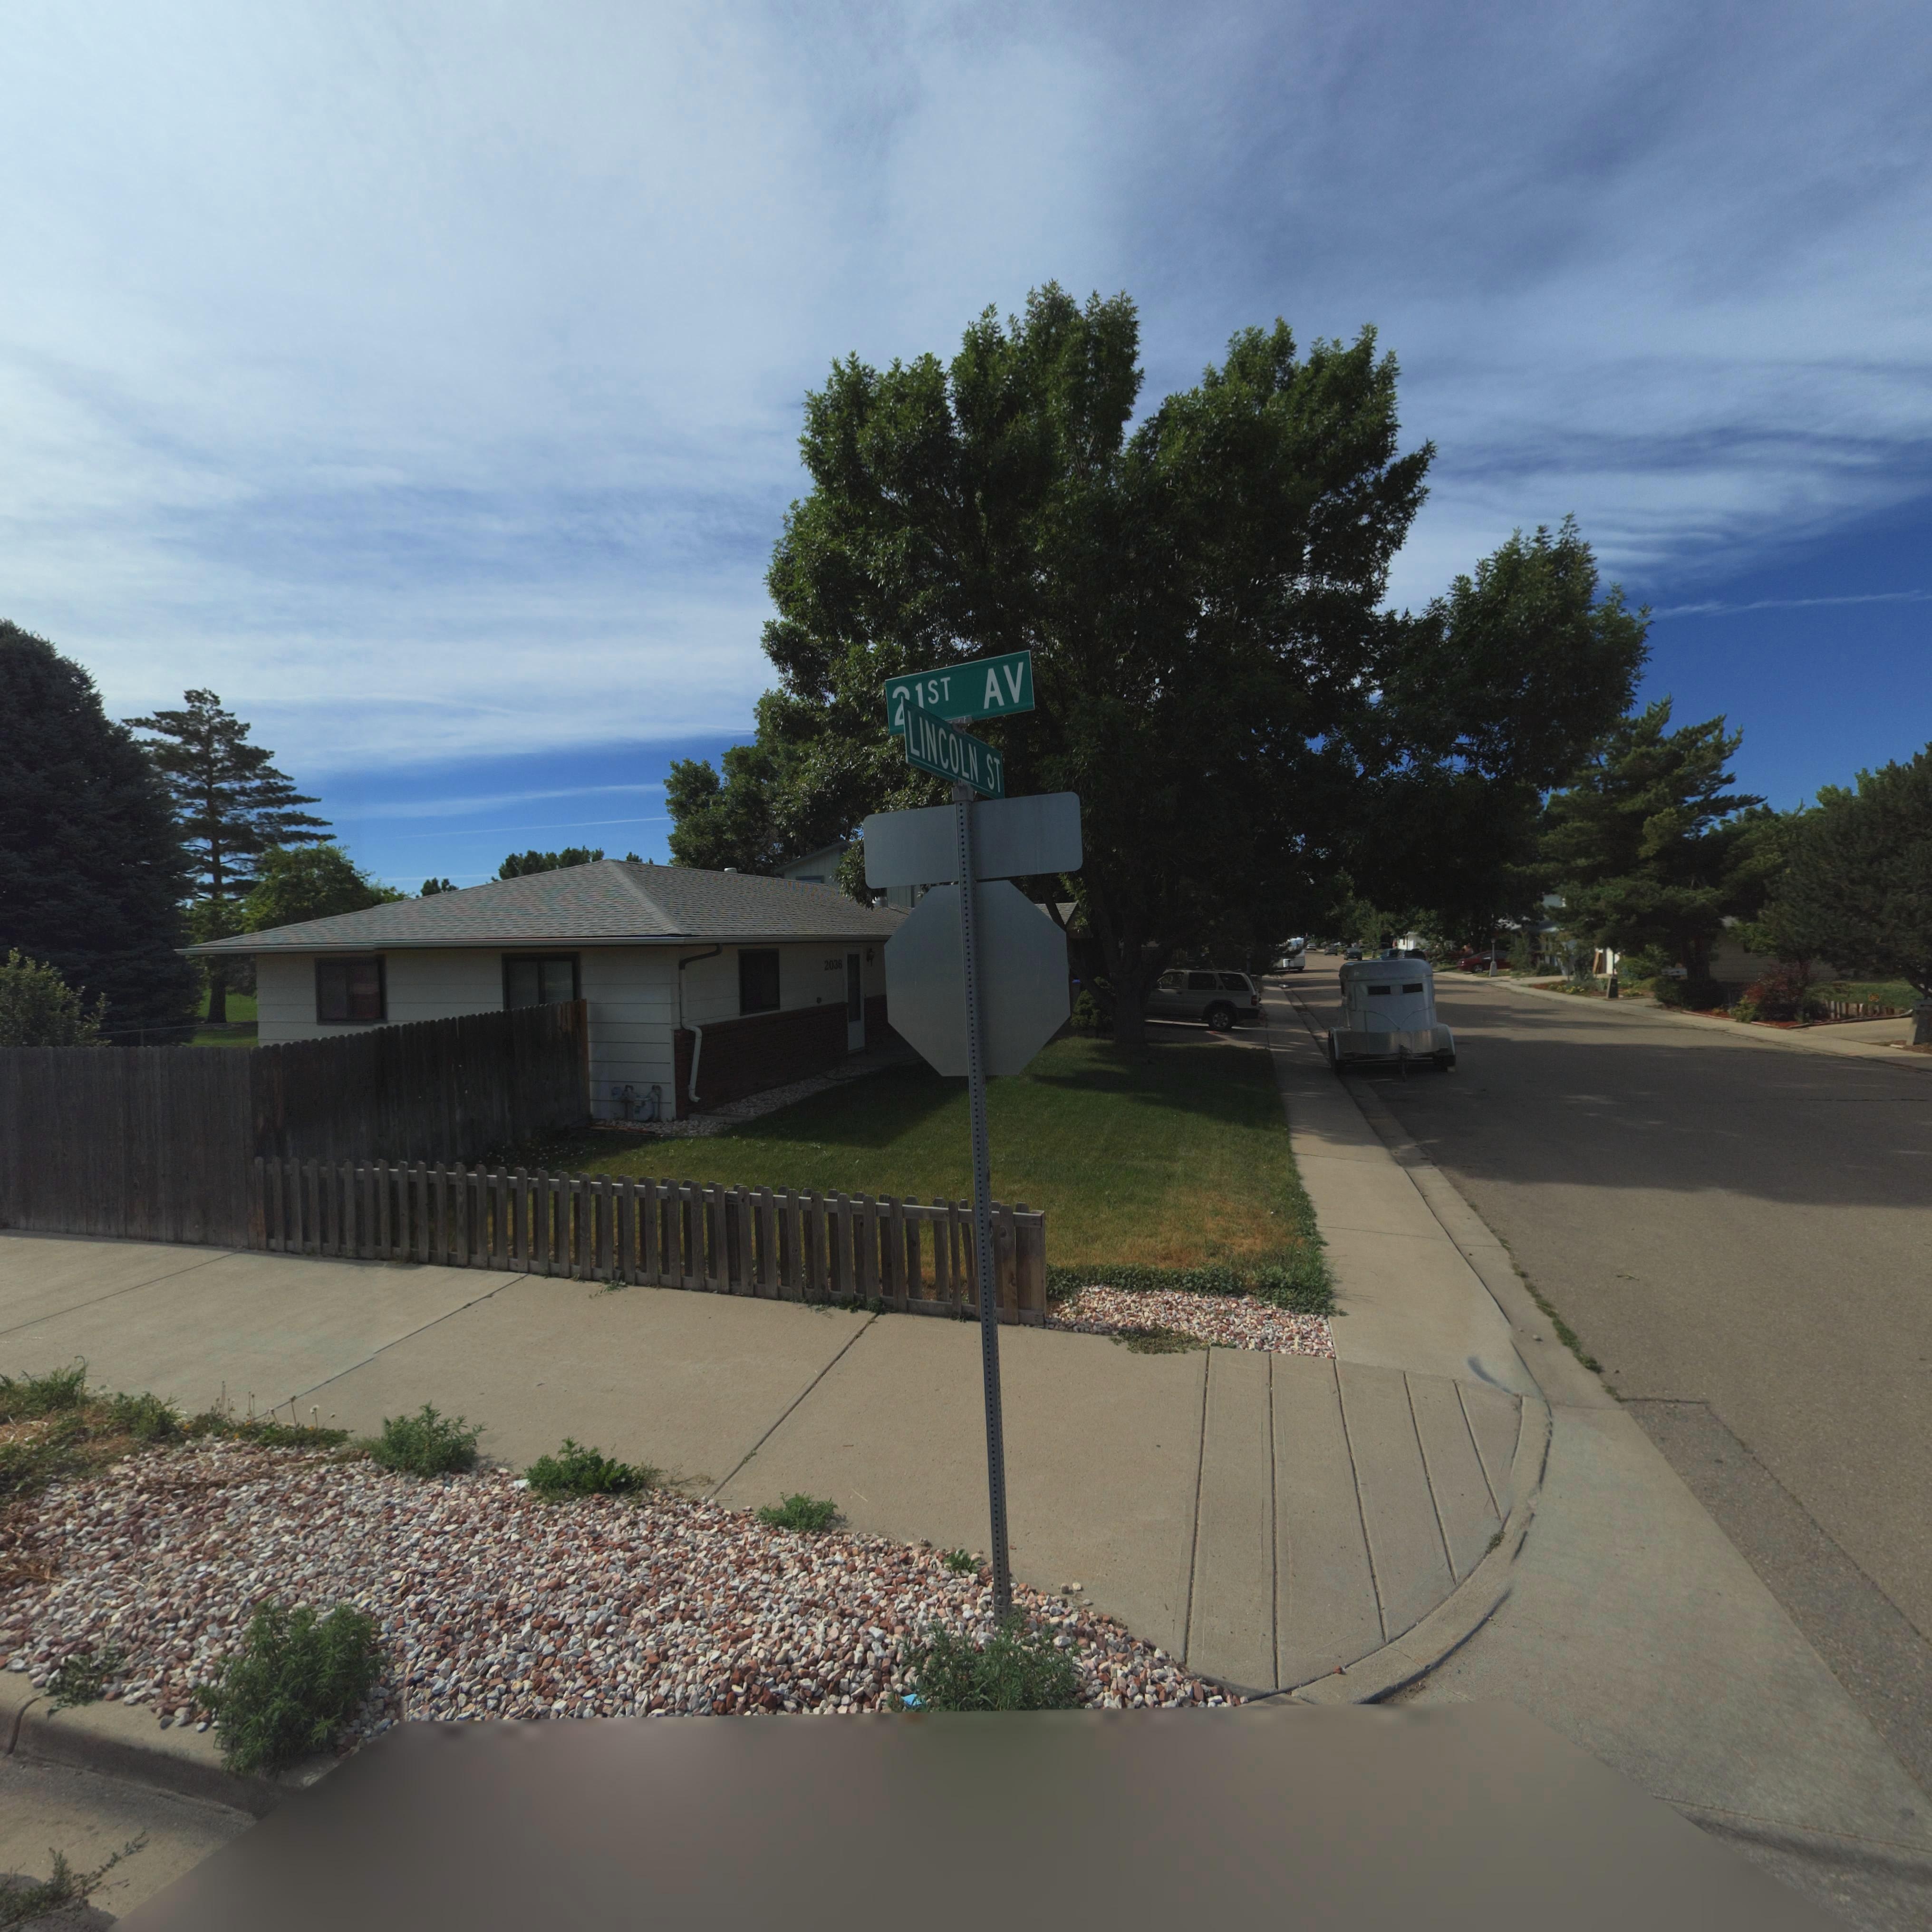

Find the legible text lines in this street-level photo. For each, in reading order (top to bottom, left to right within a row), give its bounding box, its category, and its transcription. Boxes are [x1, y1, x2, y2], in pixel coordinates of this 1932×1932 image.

[889, 659, 1025, 727] StreetName: 21ST AV
[907, 708, 1001, 795] StreetName: LINCOLN ST
[824, 959, 843, 971] StreetNumber: 2036